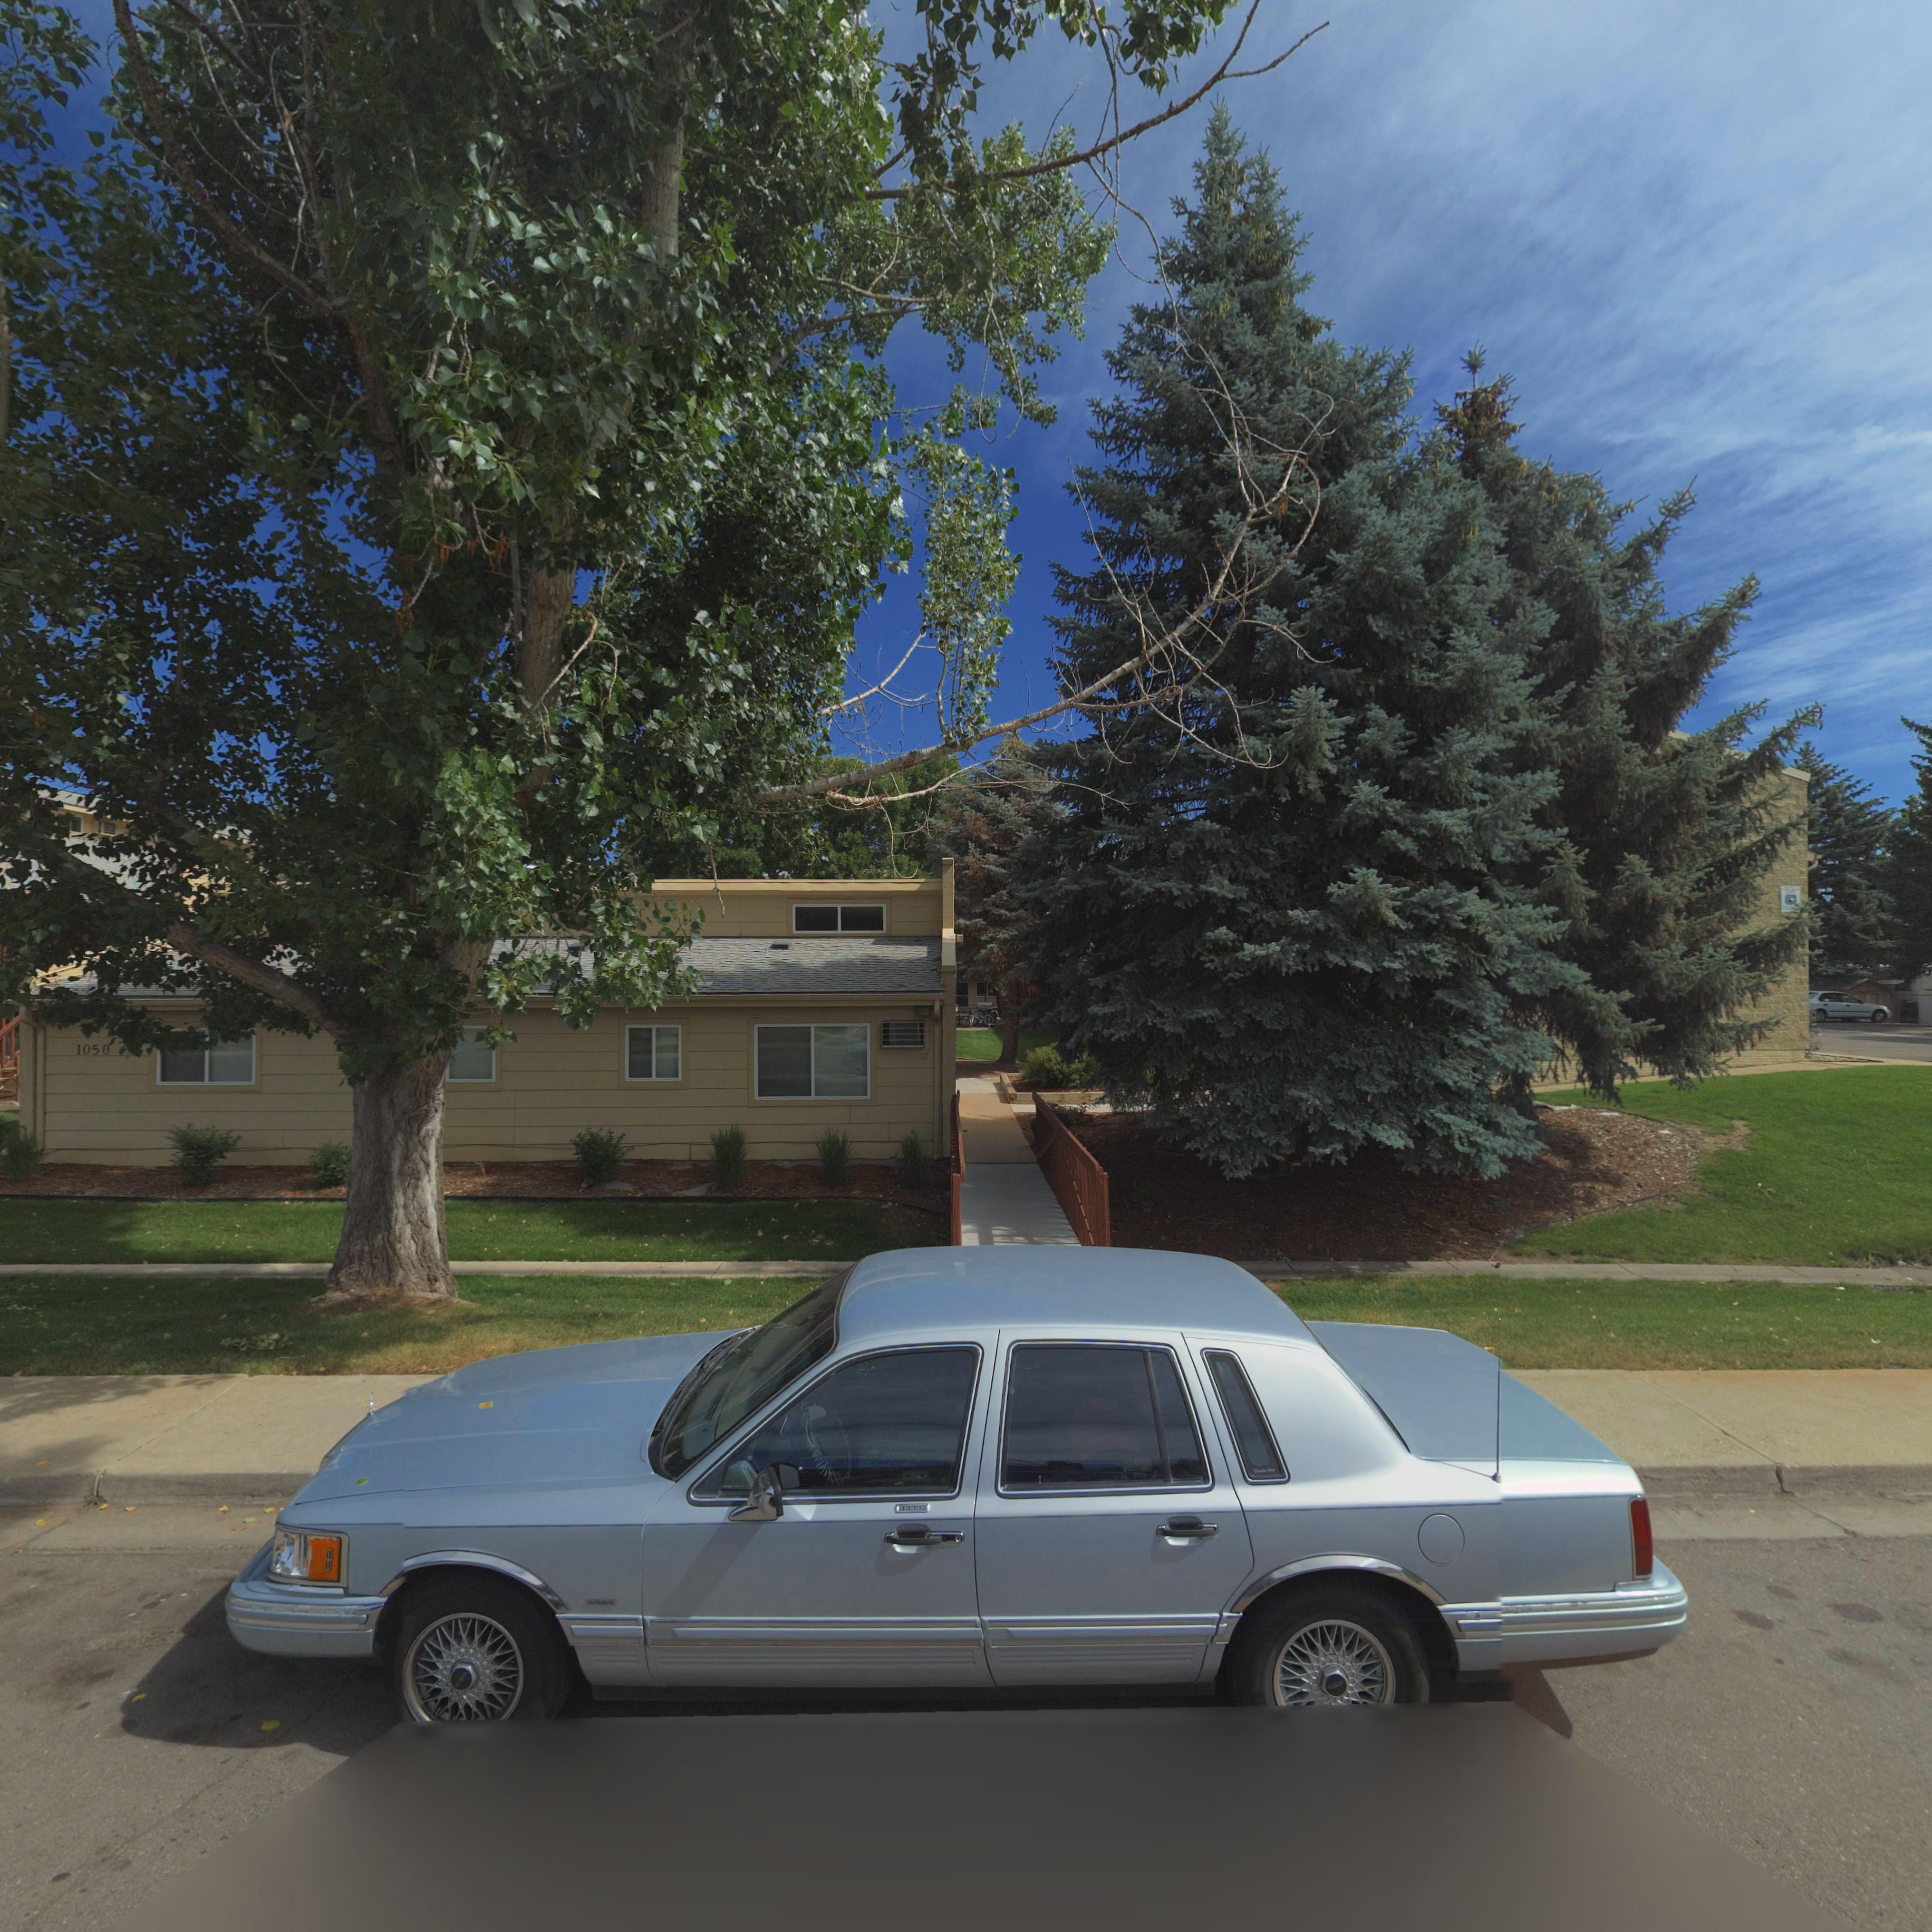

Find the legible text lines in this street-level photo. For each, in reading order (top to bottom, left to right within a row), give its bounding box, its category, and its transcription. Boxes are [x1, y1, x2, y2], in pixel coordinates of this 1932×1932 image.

[76, 1044, 110, 1055] StreetNumber: 1050